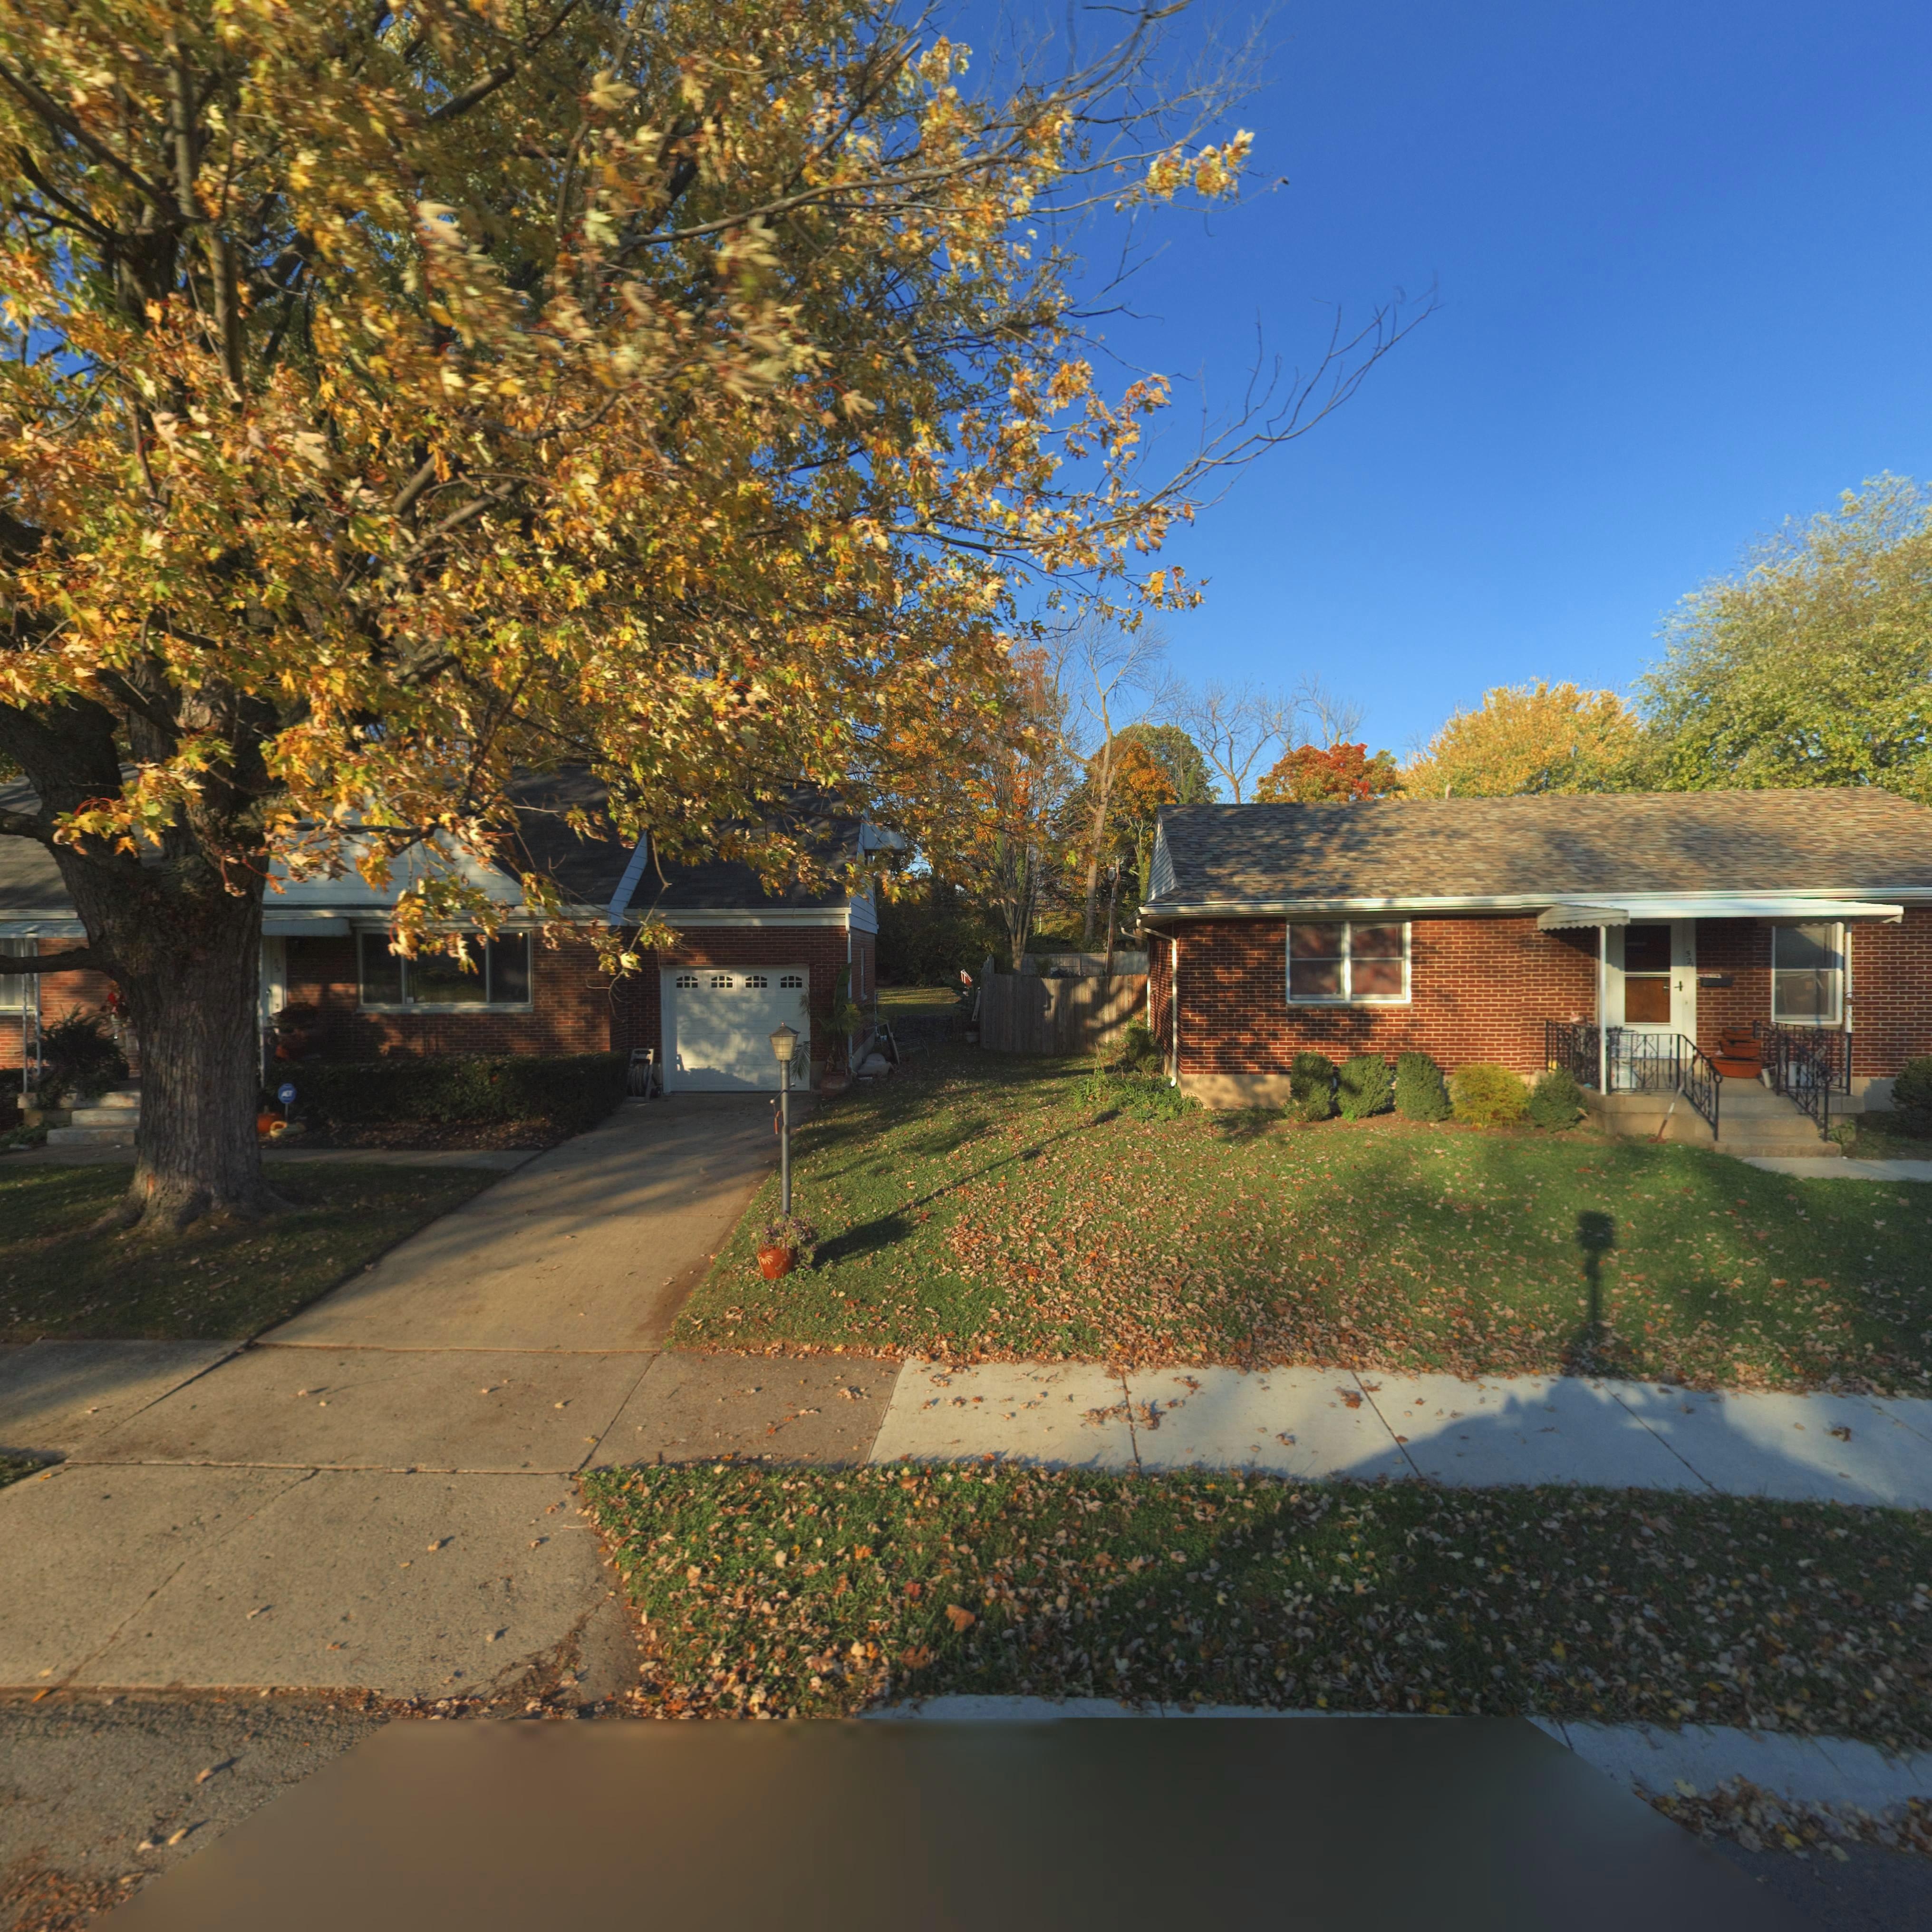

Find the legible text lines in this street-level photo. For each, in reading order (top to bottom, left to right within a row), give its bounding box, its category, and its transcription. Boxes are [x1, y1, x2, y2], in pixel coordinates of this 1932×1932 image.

[1683, 949, 1696, 969] StreetNumber: 521